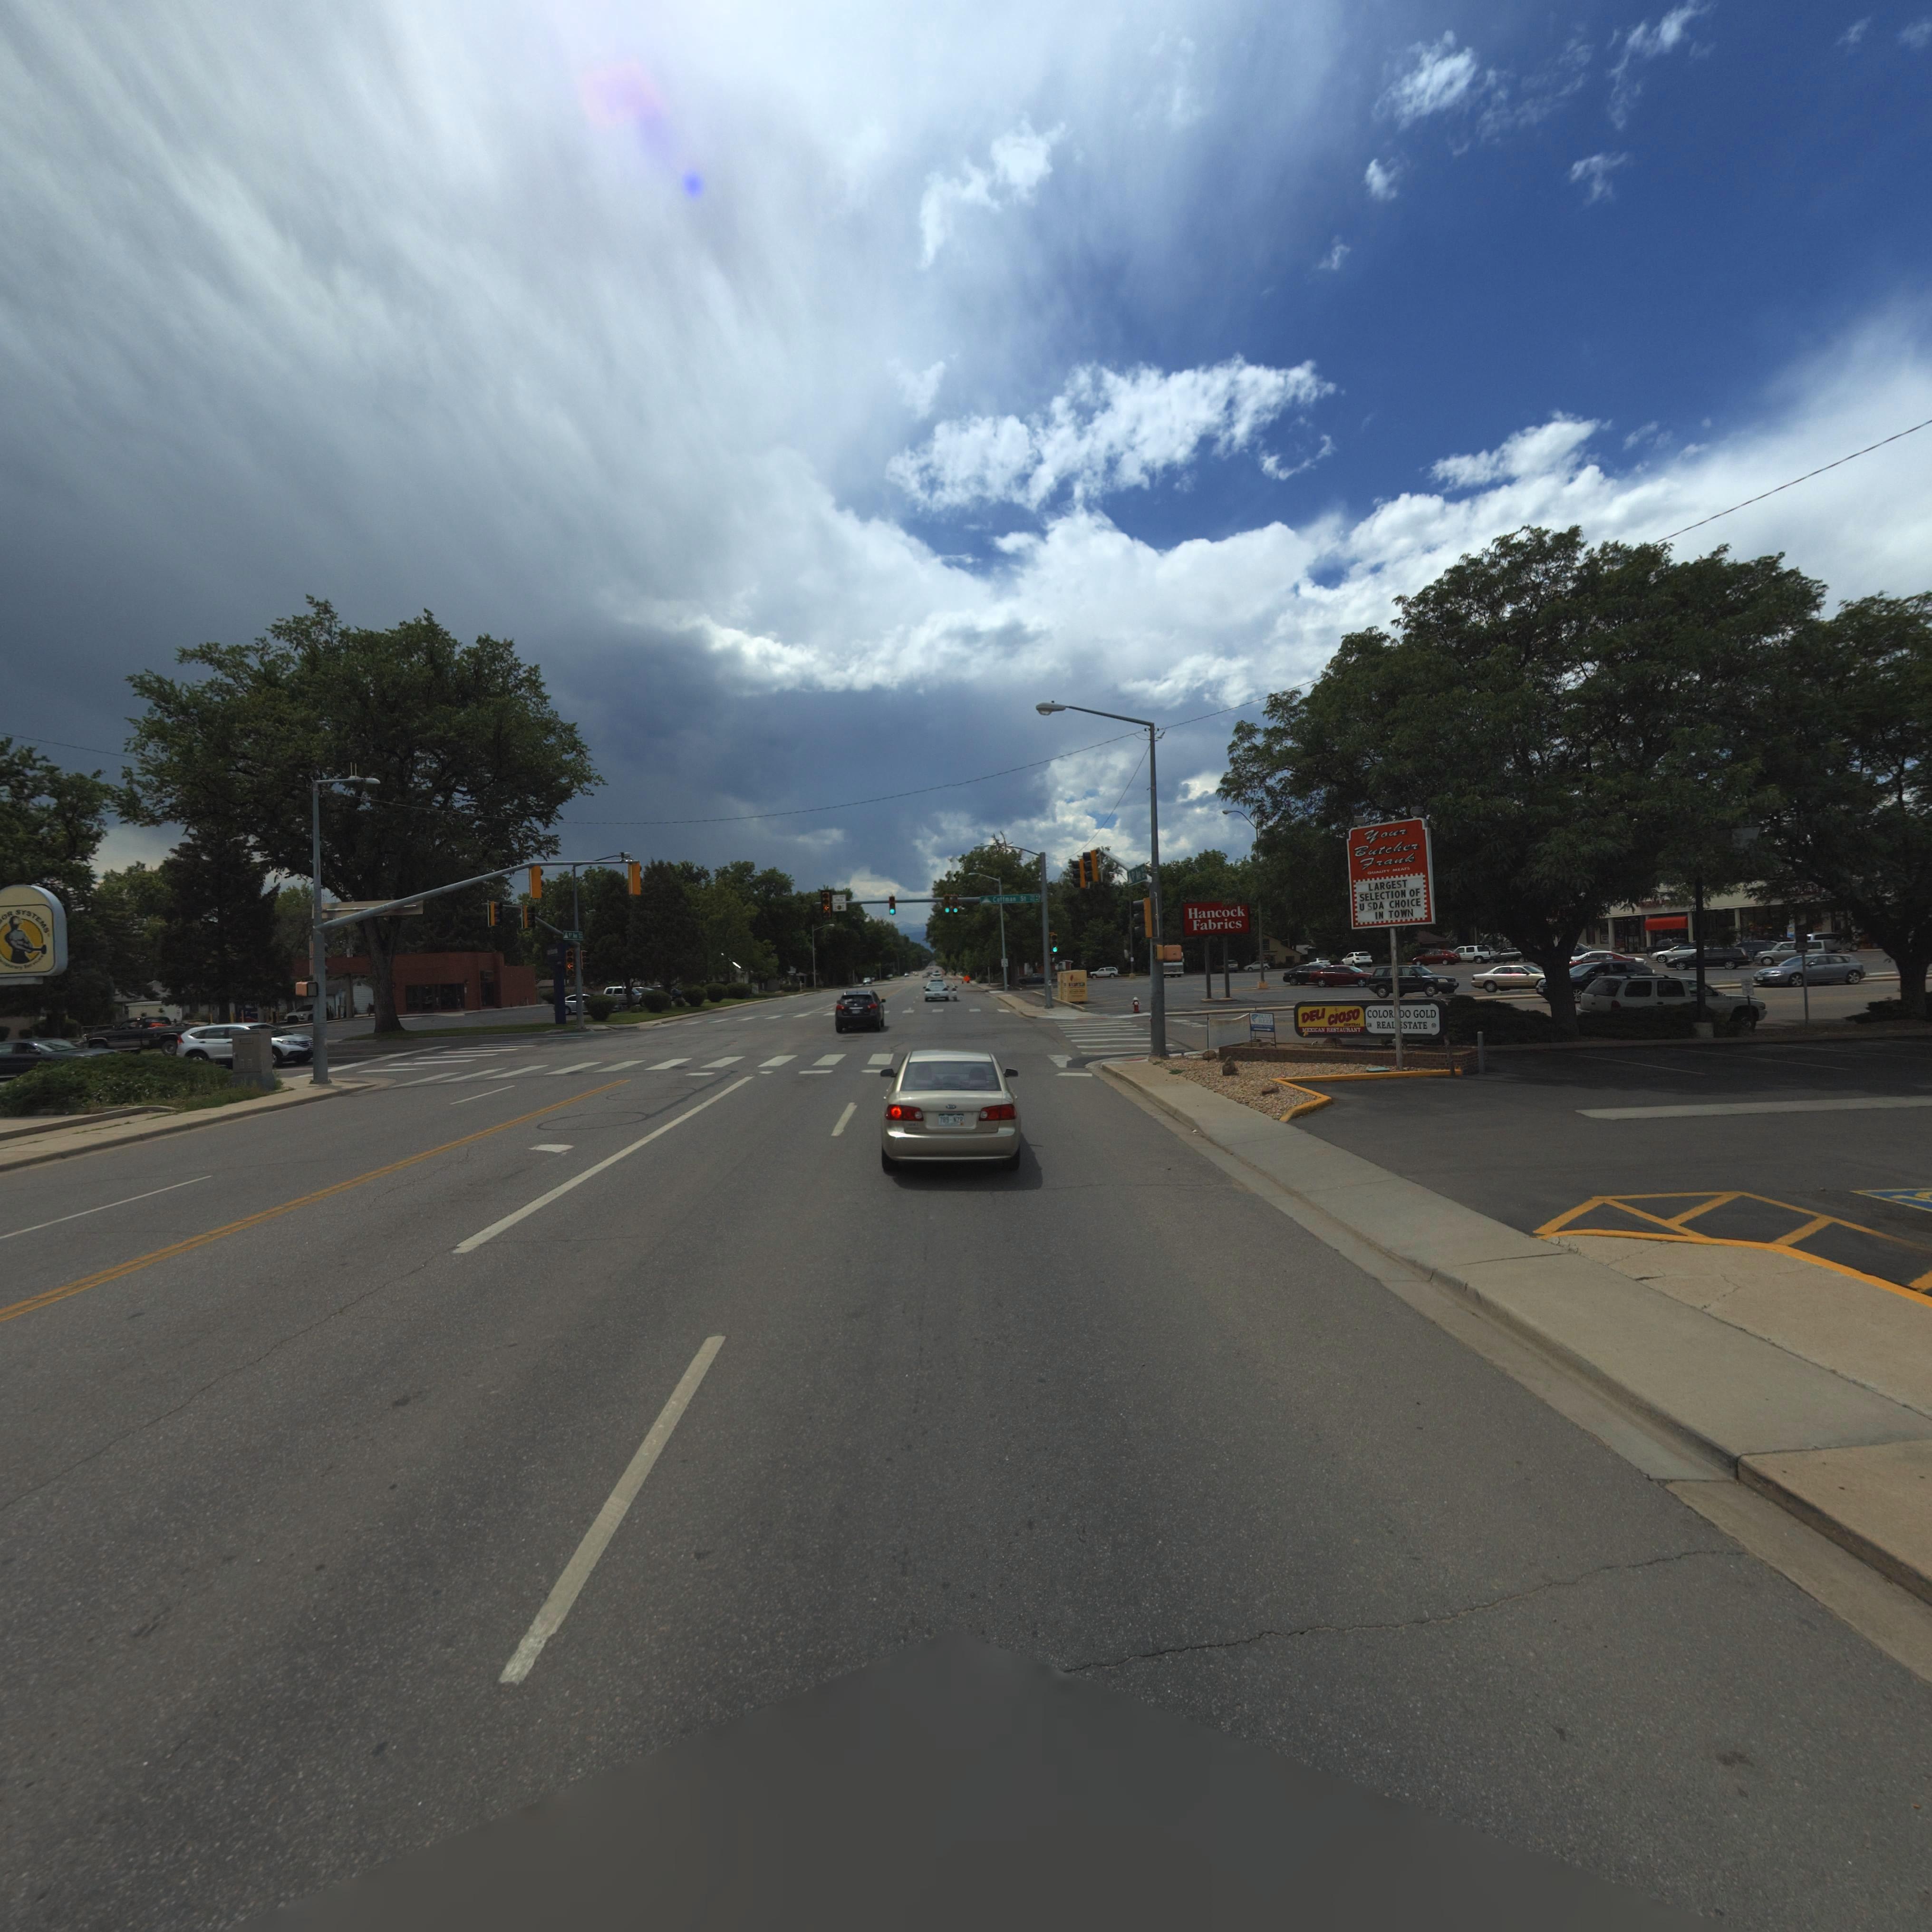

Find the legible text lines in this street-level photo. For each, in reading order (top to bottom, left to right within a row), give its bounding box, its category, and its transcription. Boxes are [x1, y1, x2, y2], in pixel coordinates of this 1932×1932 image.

[1363, 829, 1408, 844] BusinessName: Your
[1354, 840, 1419, 857] BusinessName: Butcher
[1359, 851, 1415, 870] BusinessName: Frank
[1130, 870, 1142, 881] StreetName: 9th Ave
[993, 896, 1026, 902] StreetName: Coffman St
[1188, 905, 1245, 918] BusinessName: Hancock
[1, 909, 50, 933] BusinessName: OR SYSTEMS
[1193, 918, 1242, 930] BusinessName: Fabrics
[1302, 1007, 1325, 1024] BusinessName: DELI
[1328, 1008, 1359, 1026] BusinessName: CIOSO
[1367, 1009, 1436, 1018] BusinessName: COLOR*DO GOLD
[1302, 1027, 1361, 1032] BusinessName: MEXICAN RESTAURANT
[1377, 1021, 1427, 1029] BusinessName: REAL*ESTATE